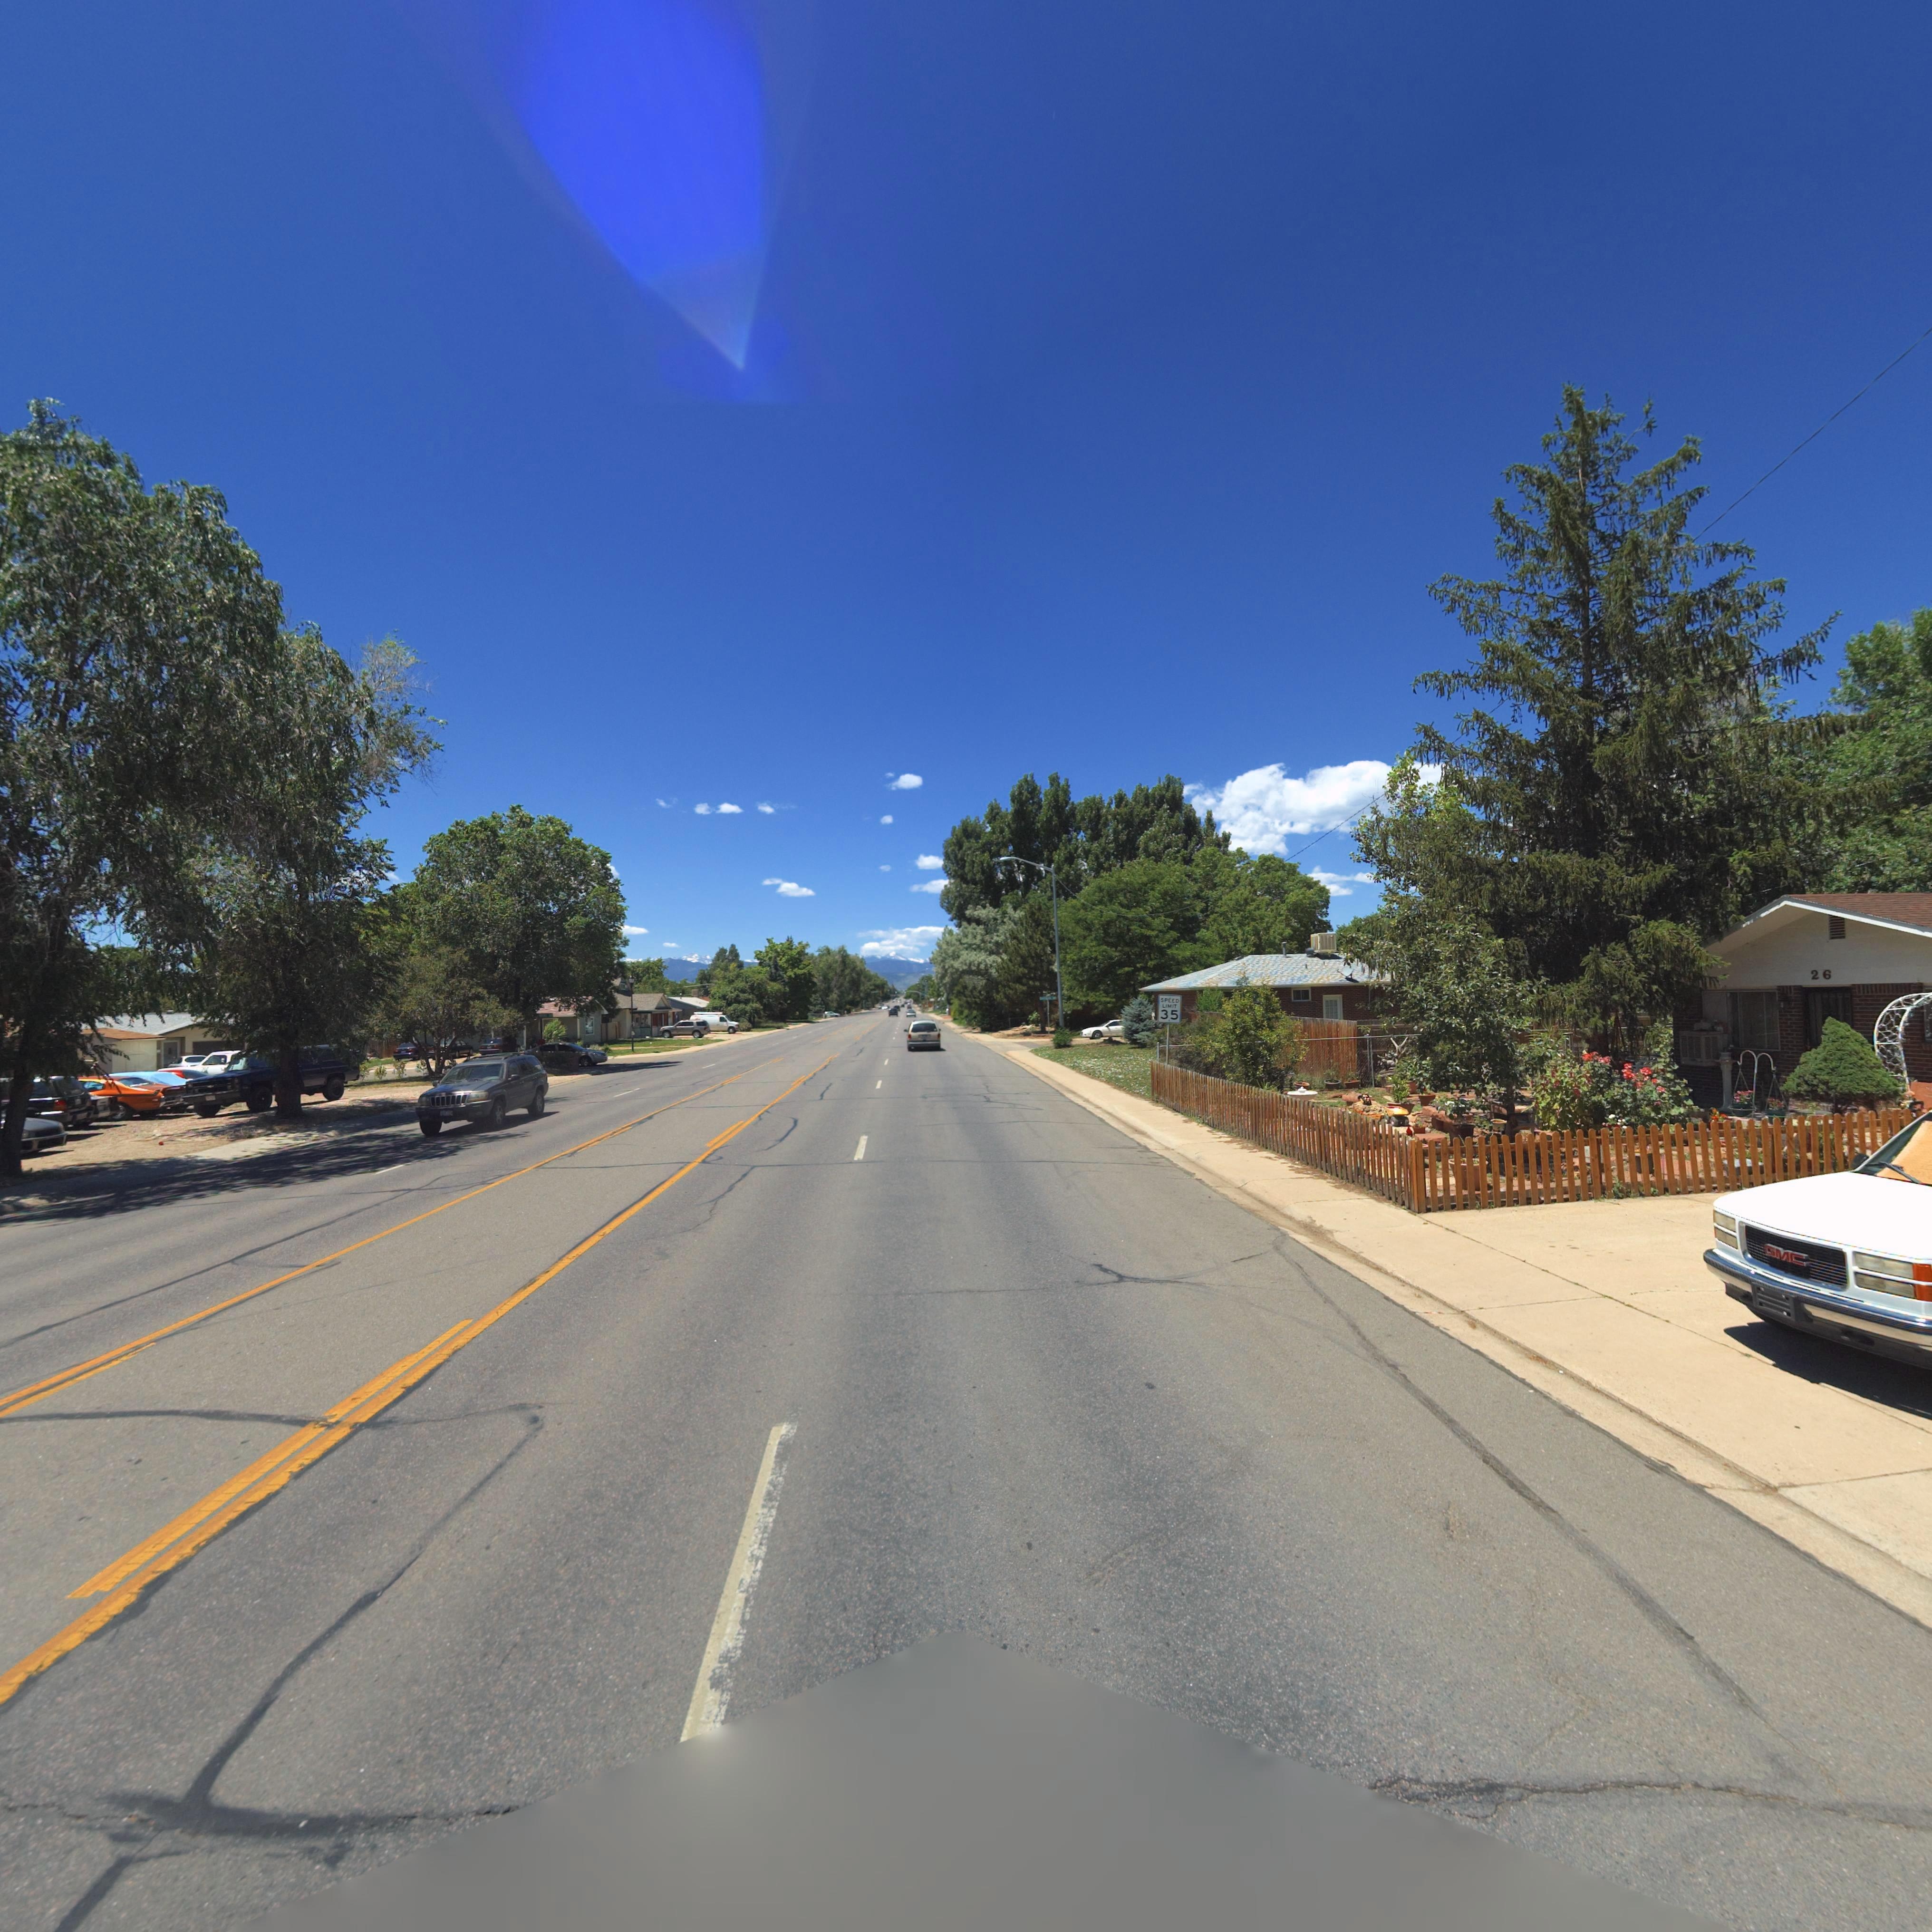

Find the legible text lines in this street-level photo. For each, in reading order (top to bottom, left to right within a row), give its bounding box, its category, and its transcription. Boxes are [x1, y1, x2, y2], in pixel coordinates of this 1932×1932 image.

[1811, 969, 1831, 980] StreetNumber: 26